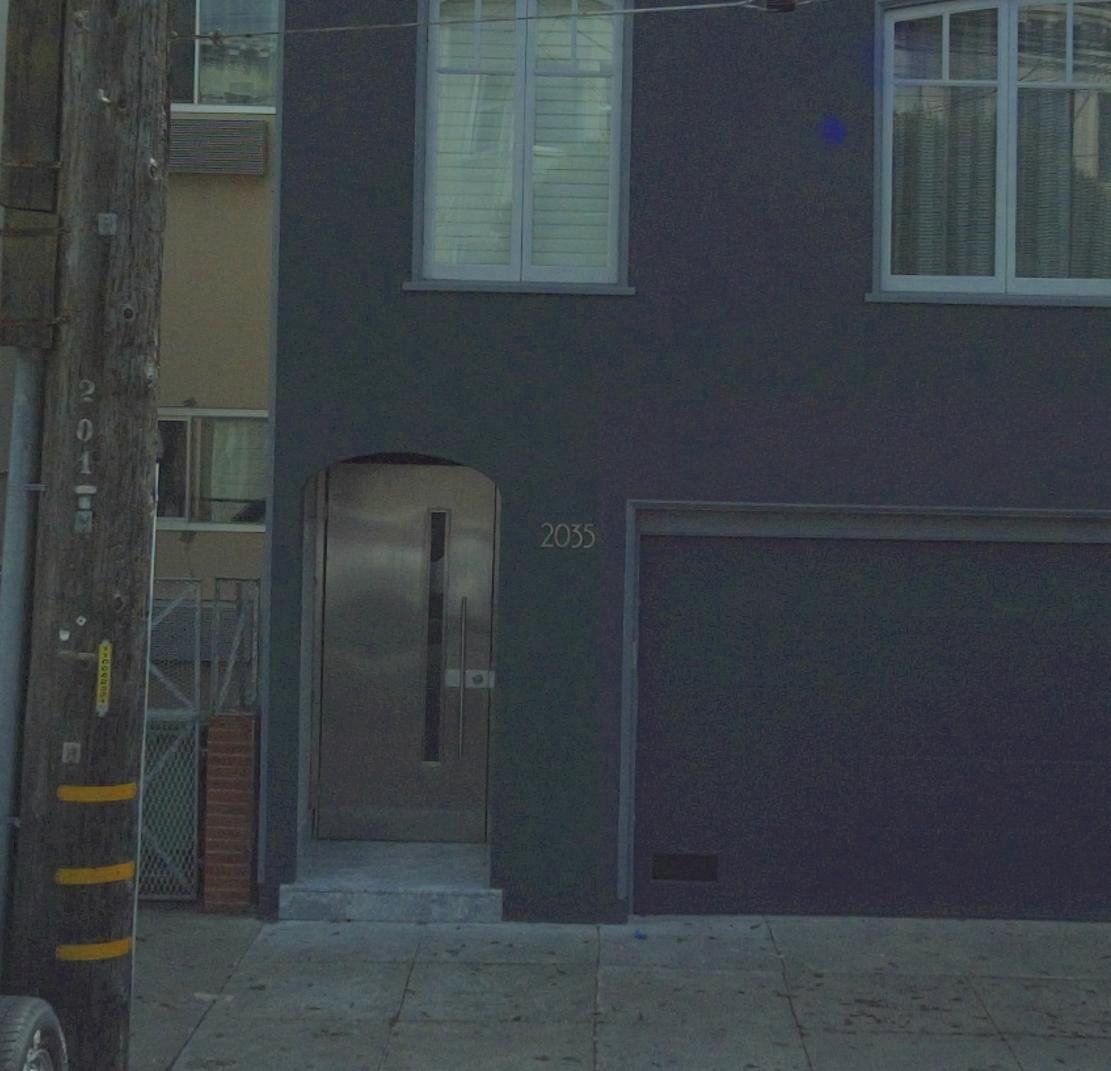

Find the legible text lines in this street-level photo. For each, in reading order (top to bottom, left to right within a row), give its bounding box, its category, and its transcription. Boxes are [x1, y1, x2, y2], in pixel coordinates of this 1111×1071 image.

[72, 376, 99, 477] None: *01
[538, 521, 597, 551] StreetNumber: 2035
[96, 643, 112, 707] None: 1100*****